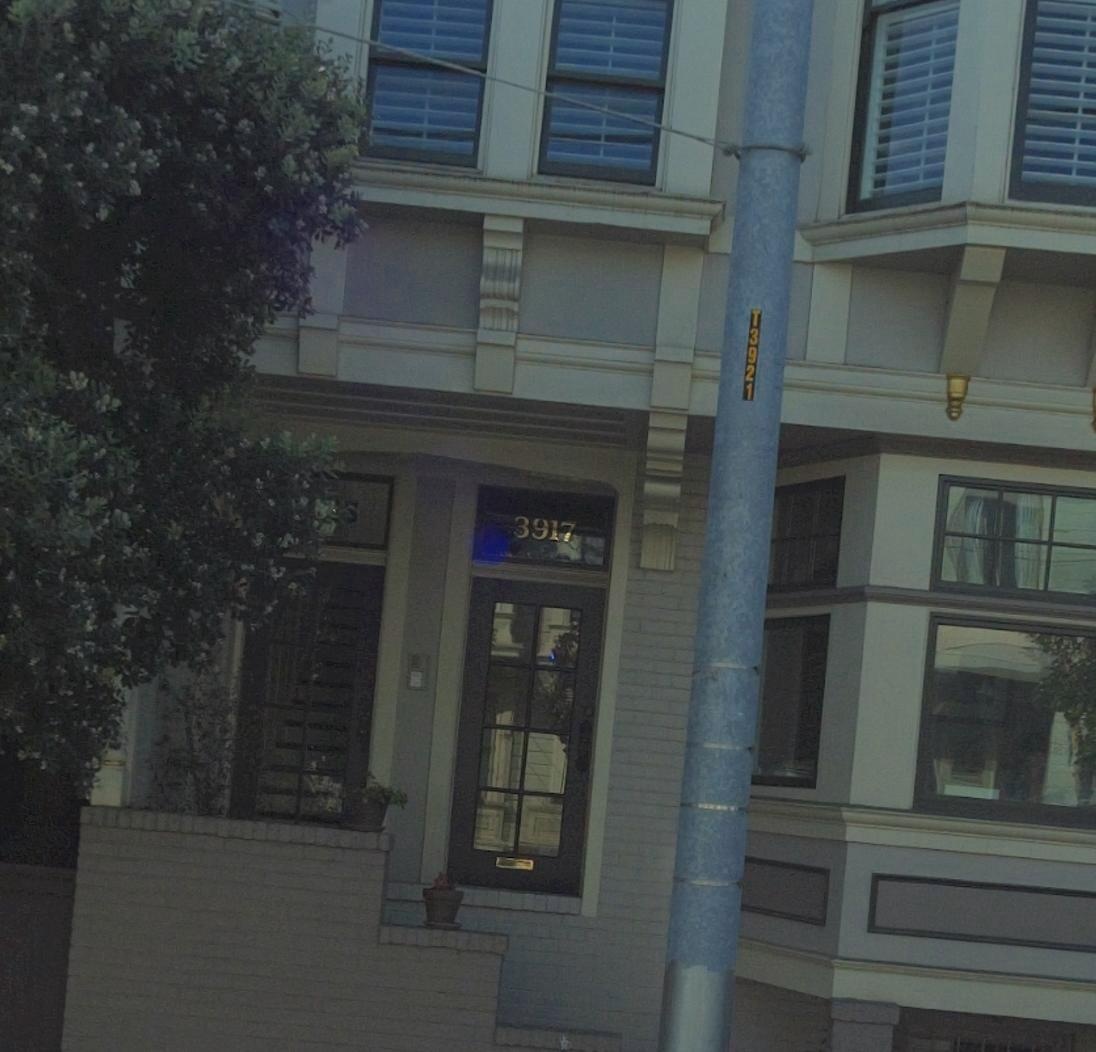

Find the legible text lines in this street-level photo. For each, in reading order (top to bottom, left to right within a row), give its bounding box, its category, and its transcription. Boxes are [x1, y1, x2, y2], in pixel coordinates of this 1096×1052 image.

[743, 309, 762, 401] None: T3921
[342, 498, 360, 524] StreetNumber: 5
[512, 513, 579, 544] StreetNumber: 3917